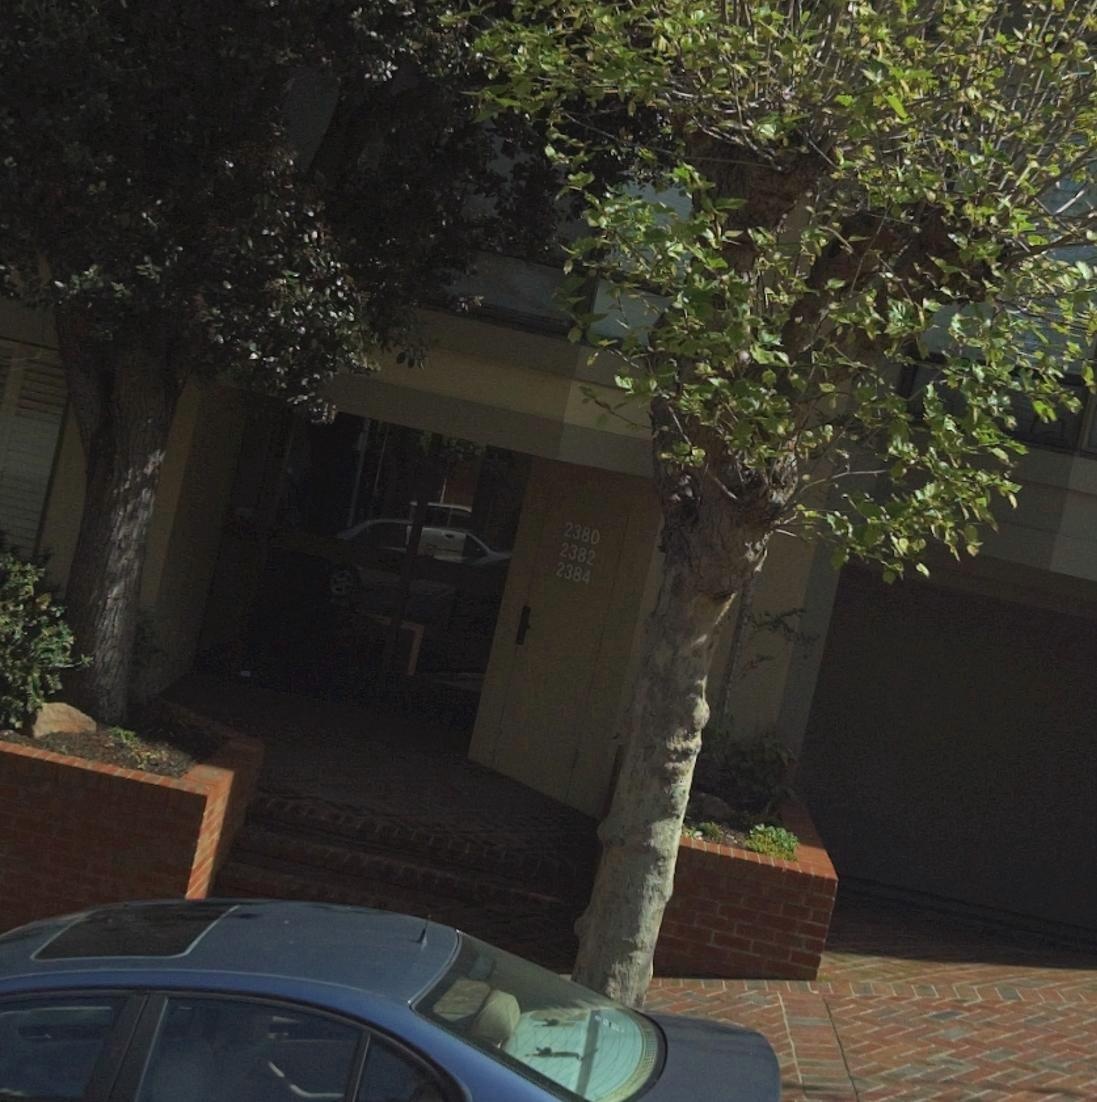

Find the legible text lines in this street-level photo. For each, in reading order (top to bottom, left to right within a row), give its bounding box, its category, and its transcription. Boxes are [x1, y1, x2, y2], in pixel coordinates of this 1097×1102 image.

[560, 519, 603, 547] StreetNumber: 2380
[558, 541, 597, 568] StreetNumber: 2382
[554, 560, 592, 587] StreetNumber: 2384